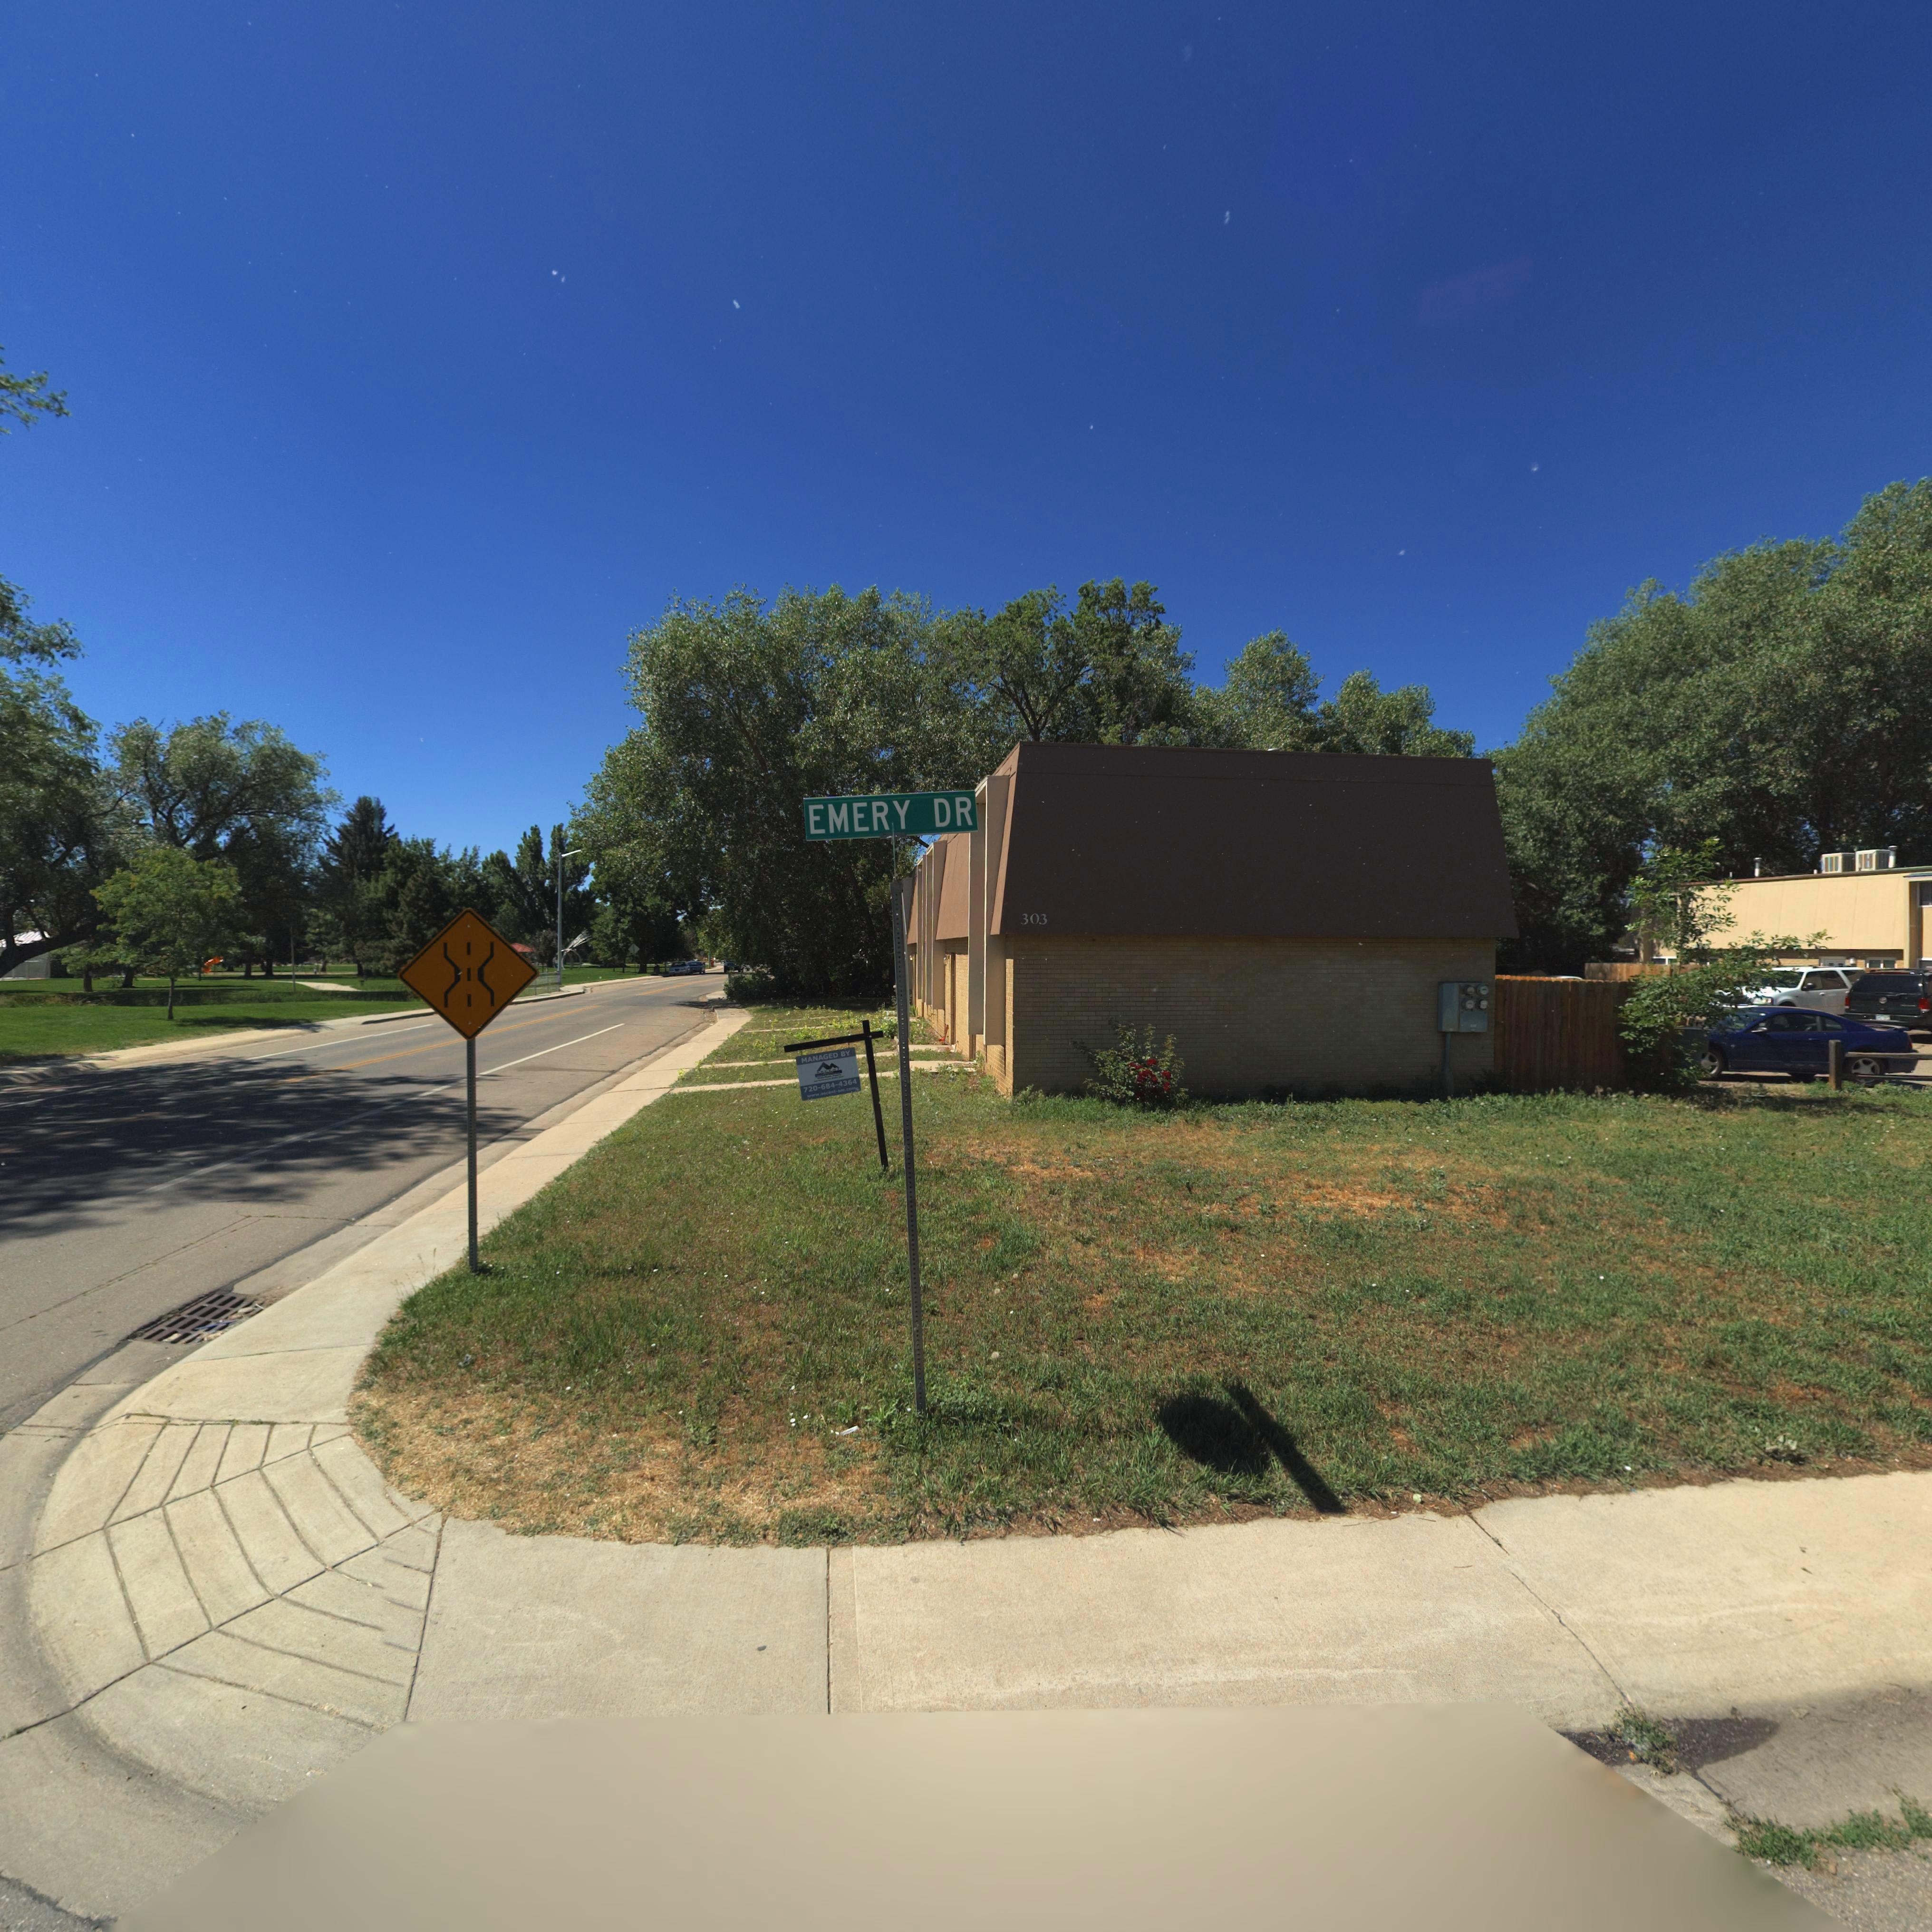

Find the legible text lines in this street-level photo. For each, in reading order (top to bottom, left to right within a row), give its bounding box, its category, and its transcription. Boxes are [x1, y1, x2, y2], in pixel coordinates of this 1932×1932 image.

[805, 793, 976, 838] StreetName: EMERY DR
[1019, 912, 1048, 926] StreetNumber: 303